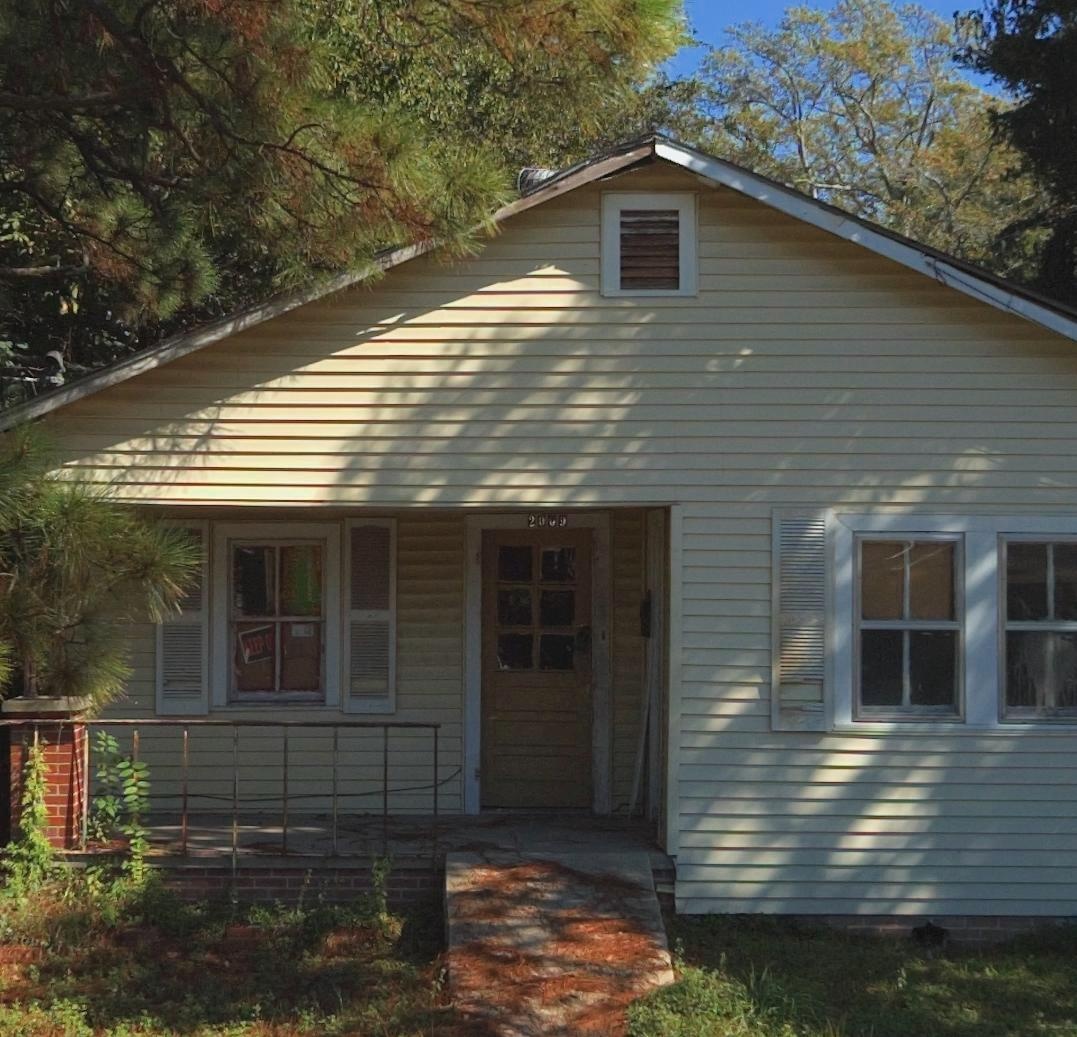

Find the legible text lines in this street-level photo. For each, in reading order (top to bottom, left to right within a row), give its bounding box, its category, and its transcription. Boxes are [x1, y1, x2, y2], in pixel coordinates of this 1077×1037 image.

[526, 512, 569, 529] StreetNumber: 2095
[245, 634, 266, 658] None: EEP